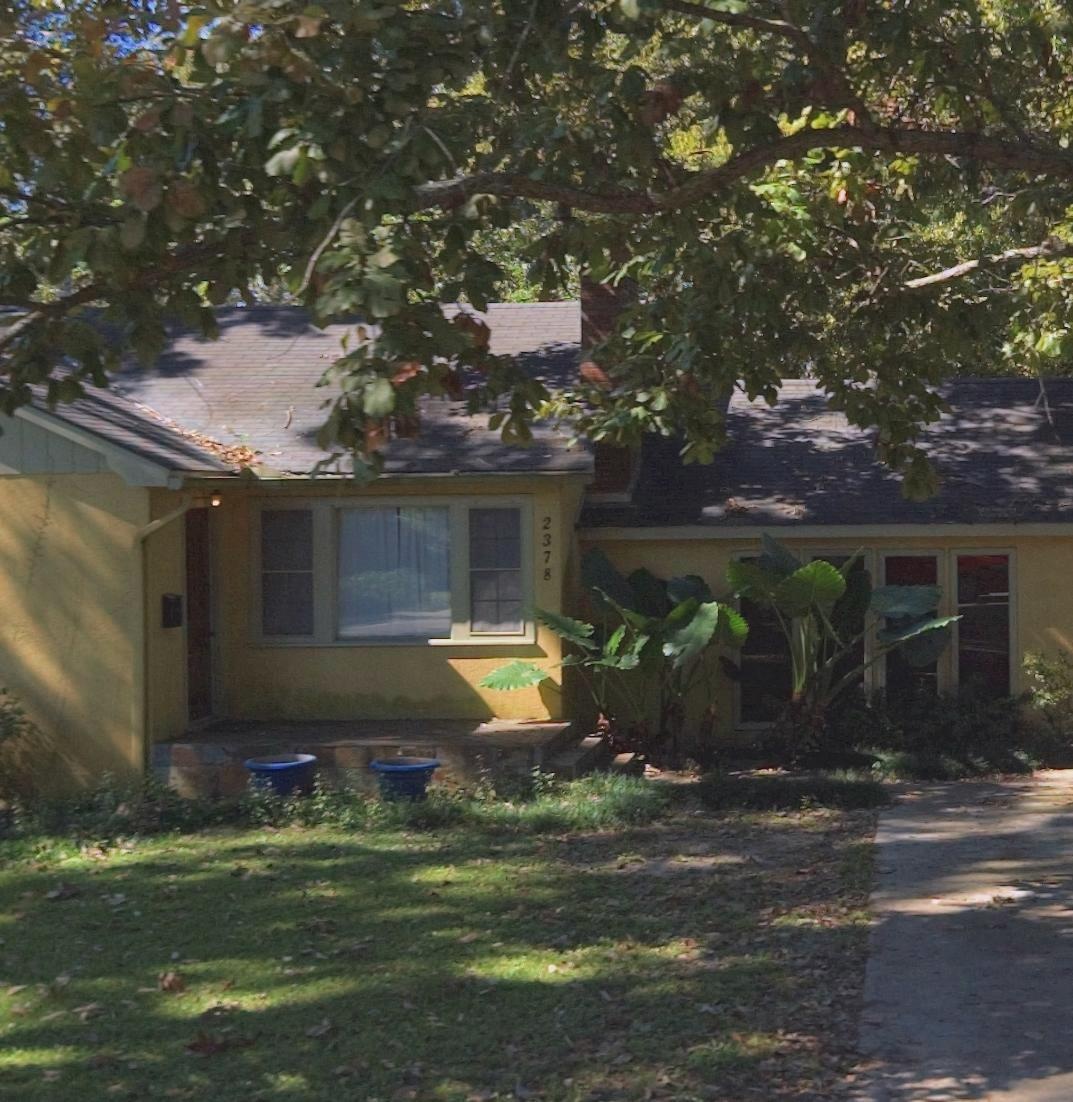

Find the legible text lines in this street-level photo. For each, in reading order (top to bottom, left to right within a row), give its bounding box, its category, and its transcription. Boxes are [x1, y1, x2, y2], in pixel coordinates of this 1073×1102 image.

[540, 514, 553, 583] StreetNumber: 2378